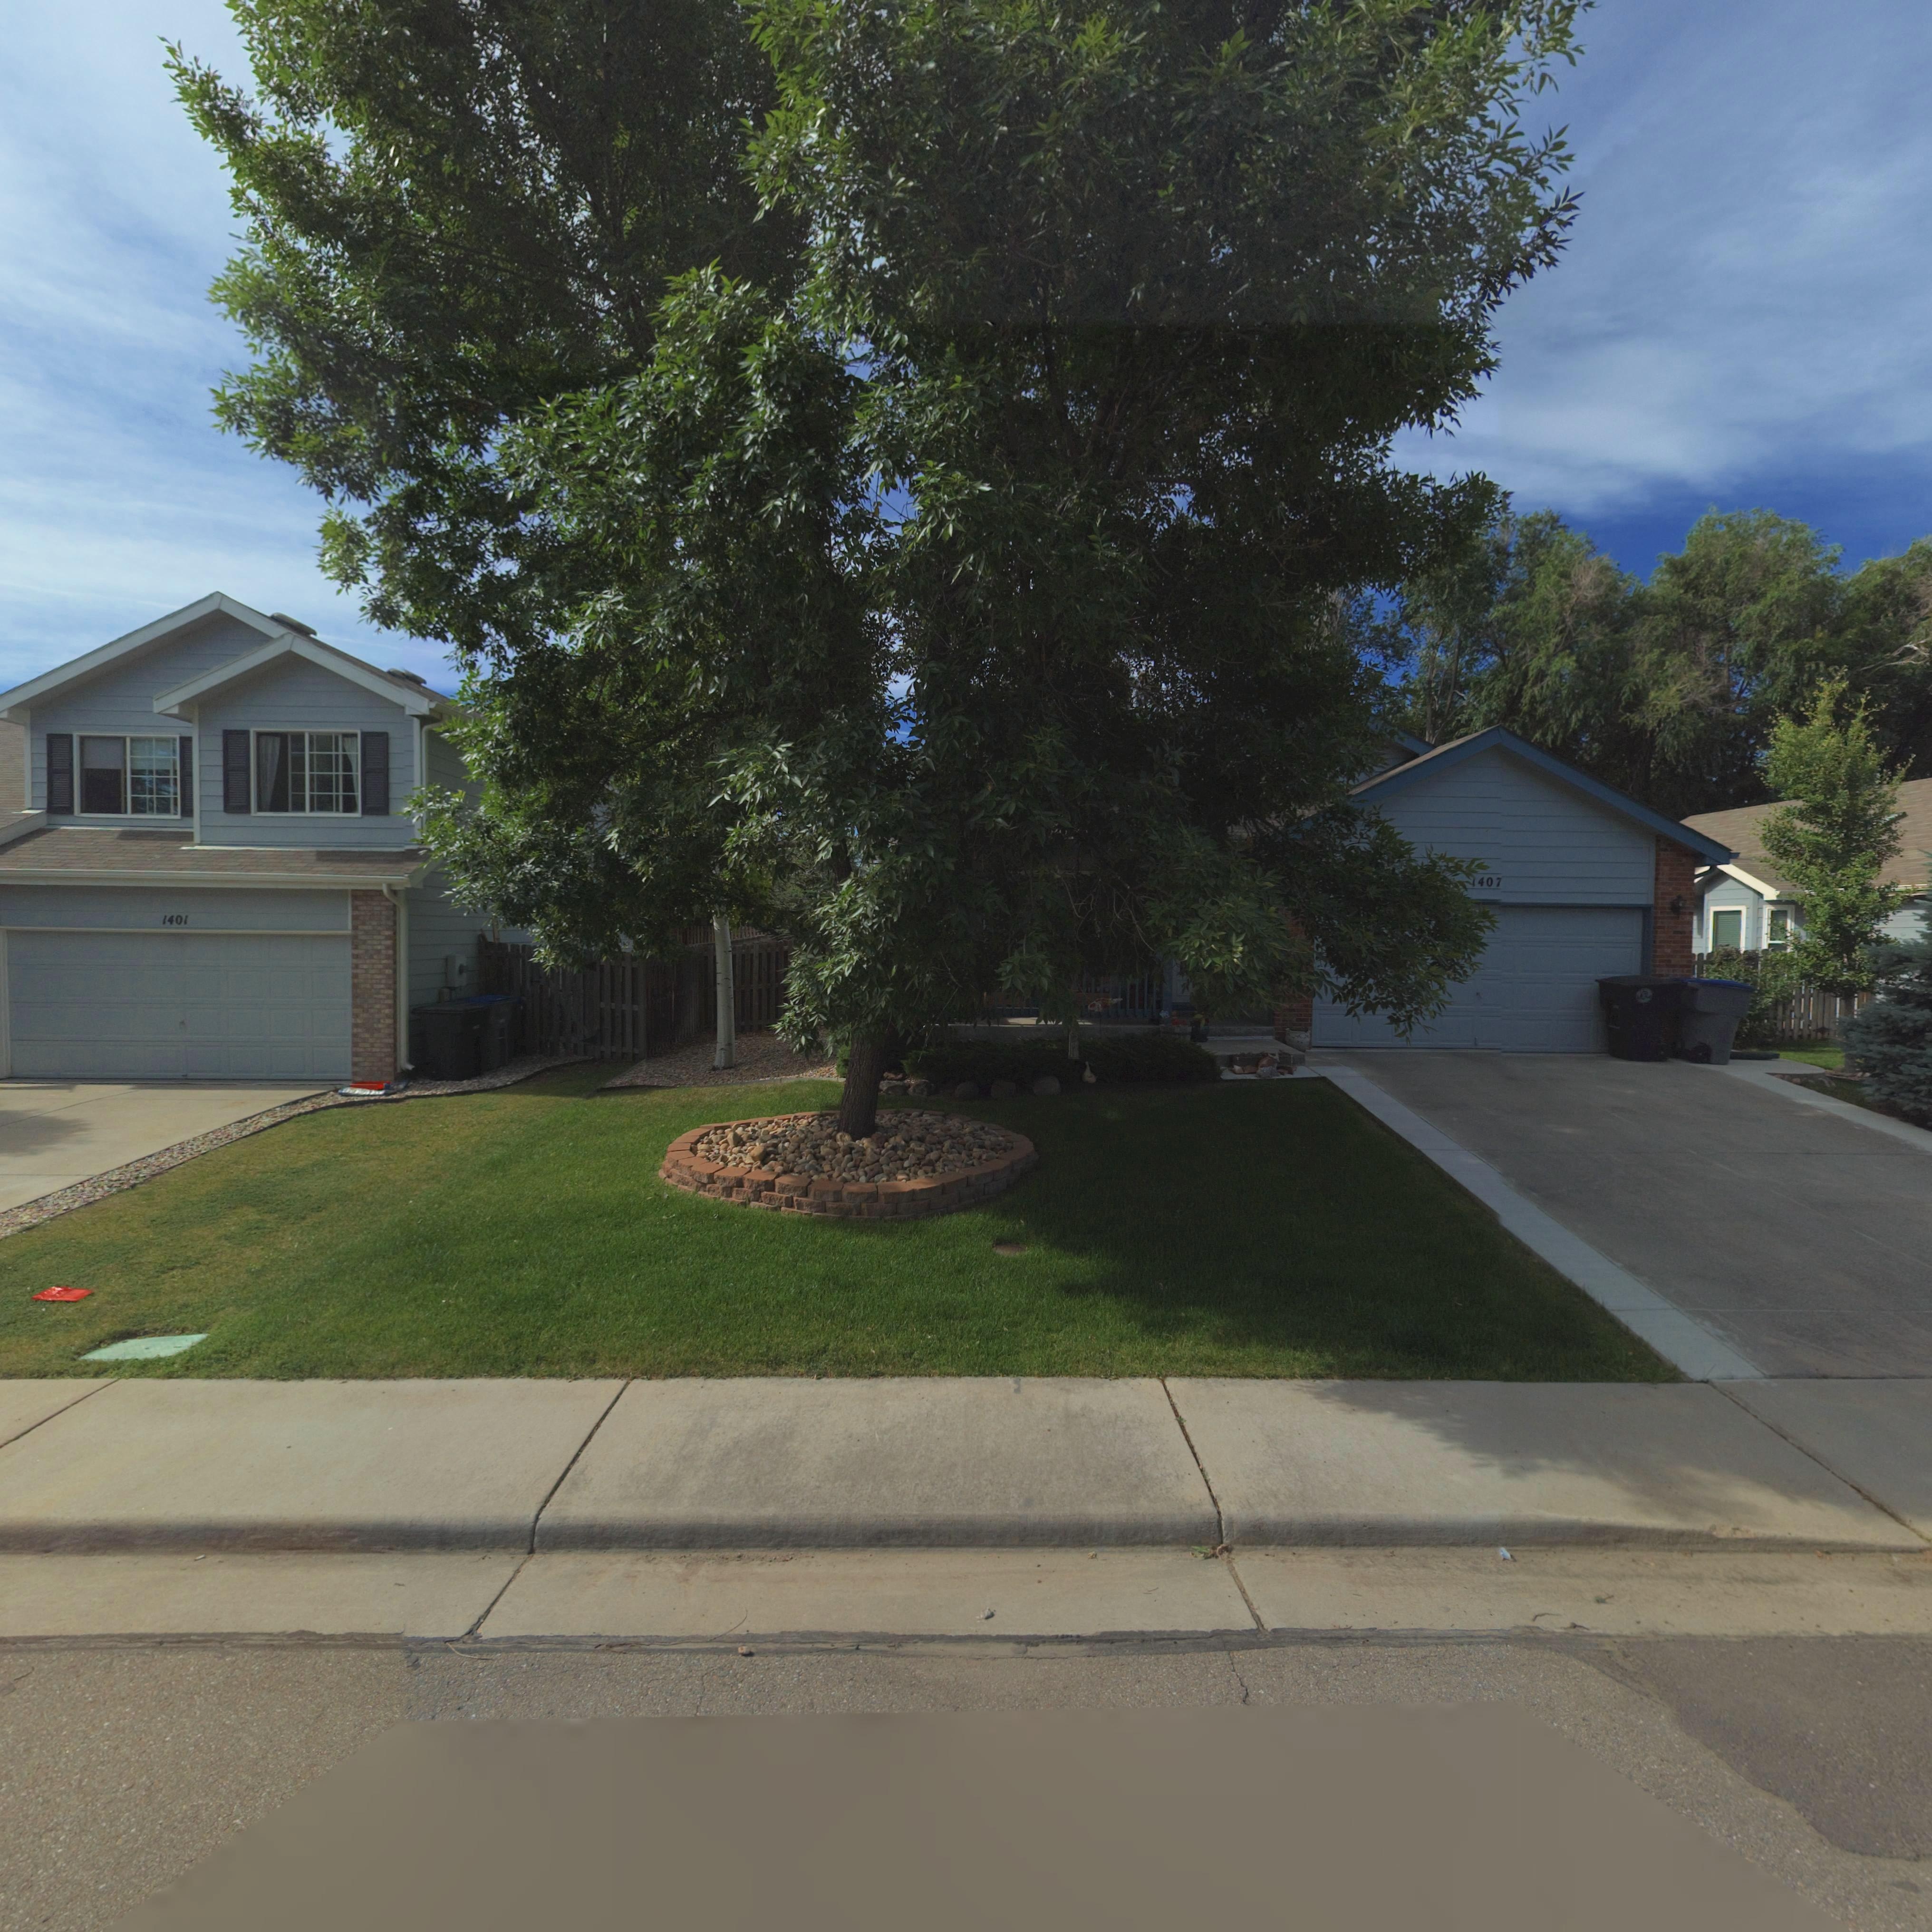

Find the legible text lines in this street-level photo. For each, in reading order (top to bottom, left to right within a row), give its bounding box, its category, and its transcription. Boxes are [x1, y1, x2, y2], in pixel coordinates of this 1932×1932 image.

[1472, 877, 1503, 887] StreetNumber: 1407
[162, 914, 189, 925] StreetNumber: 1401